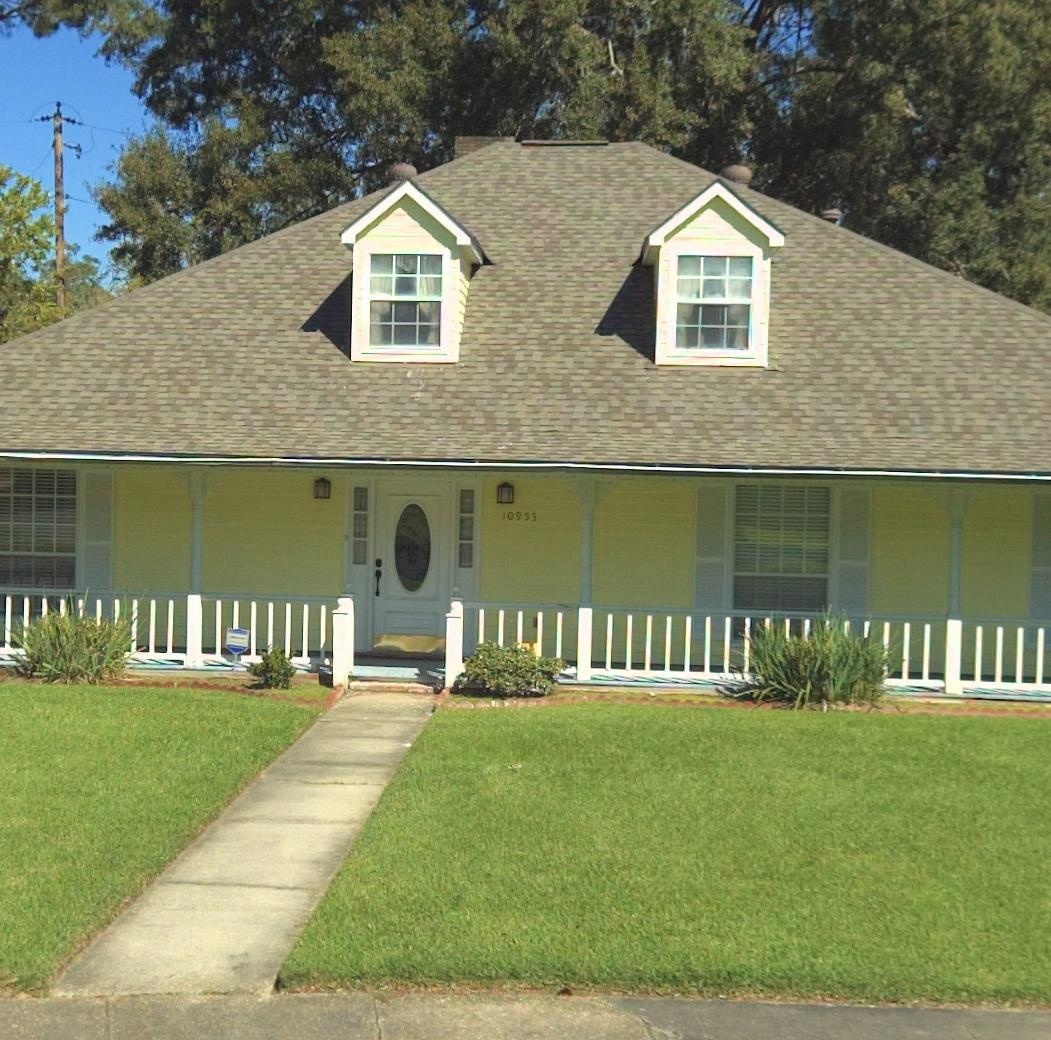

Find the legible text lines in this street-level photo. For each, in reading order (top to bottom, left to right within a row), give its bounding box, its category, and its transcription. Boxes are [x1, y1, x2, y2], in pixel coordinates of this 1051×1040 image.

[500, 509, 538, 524] StreetNumber: 109*3